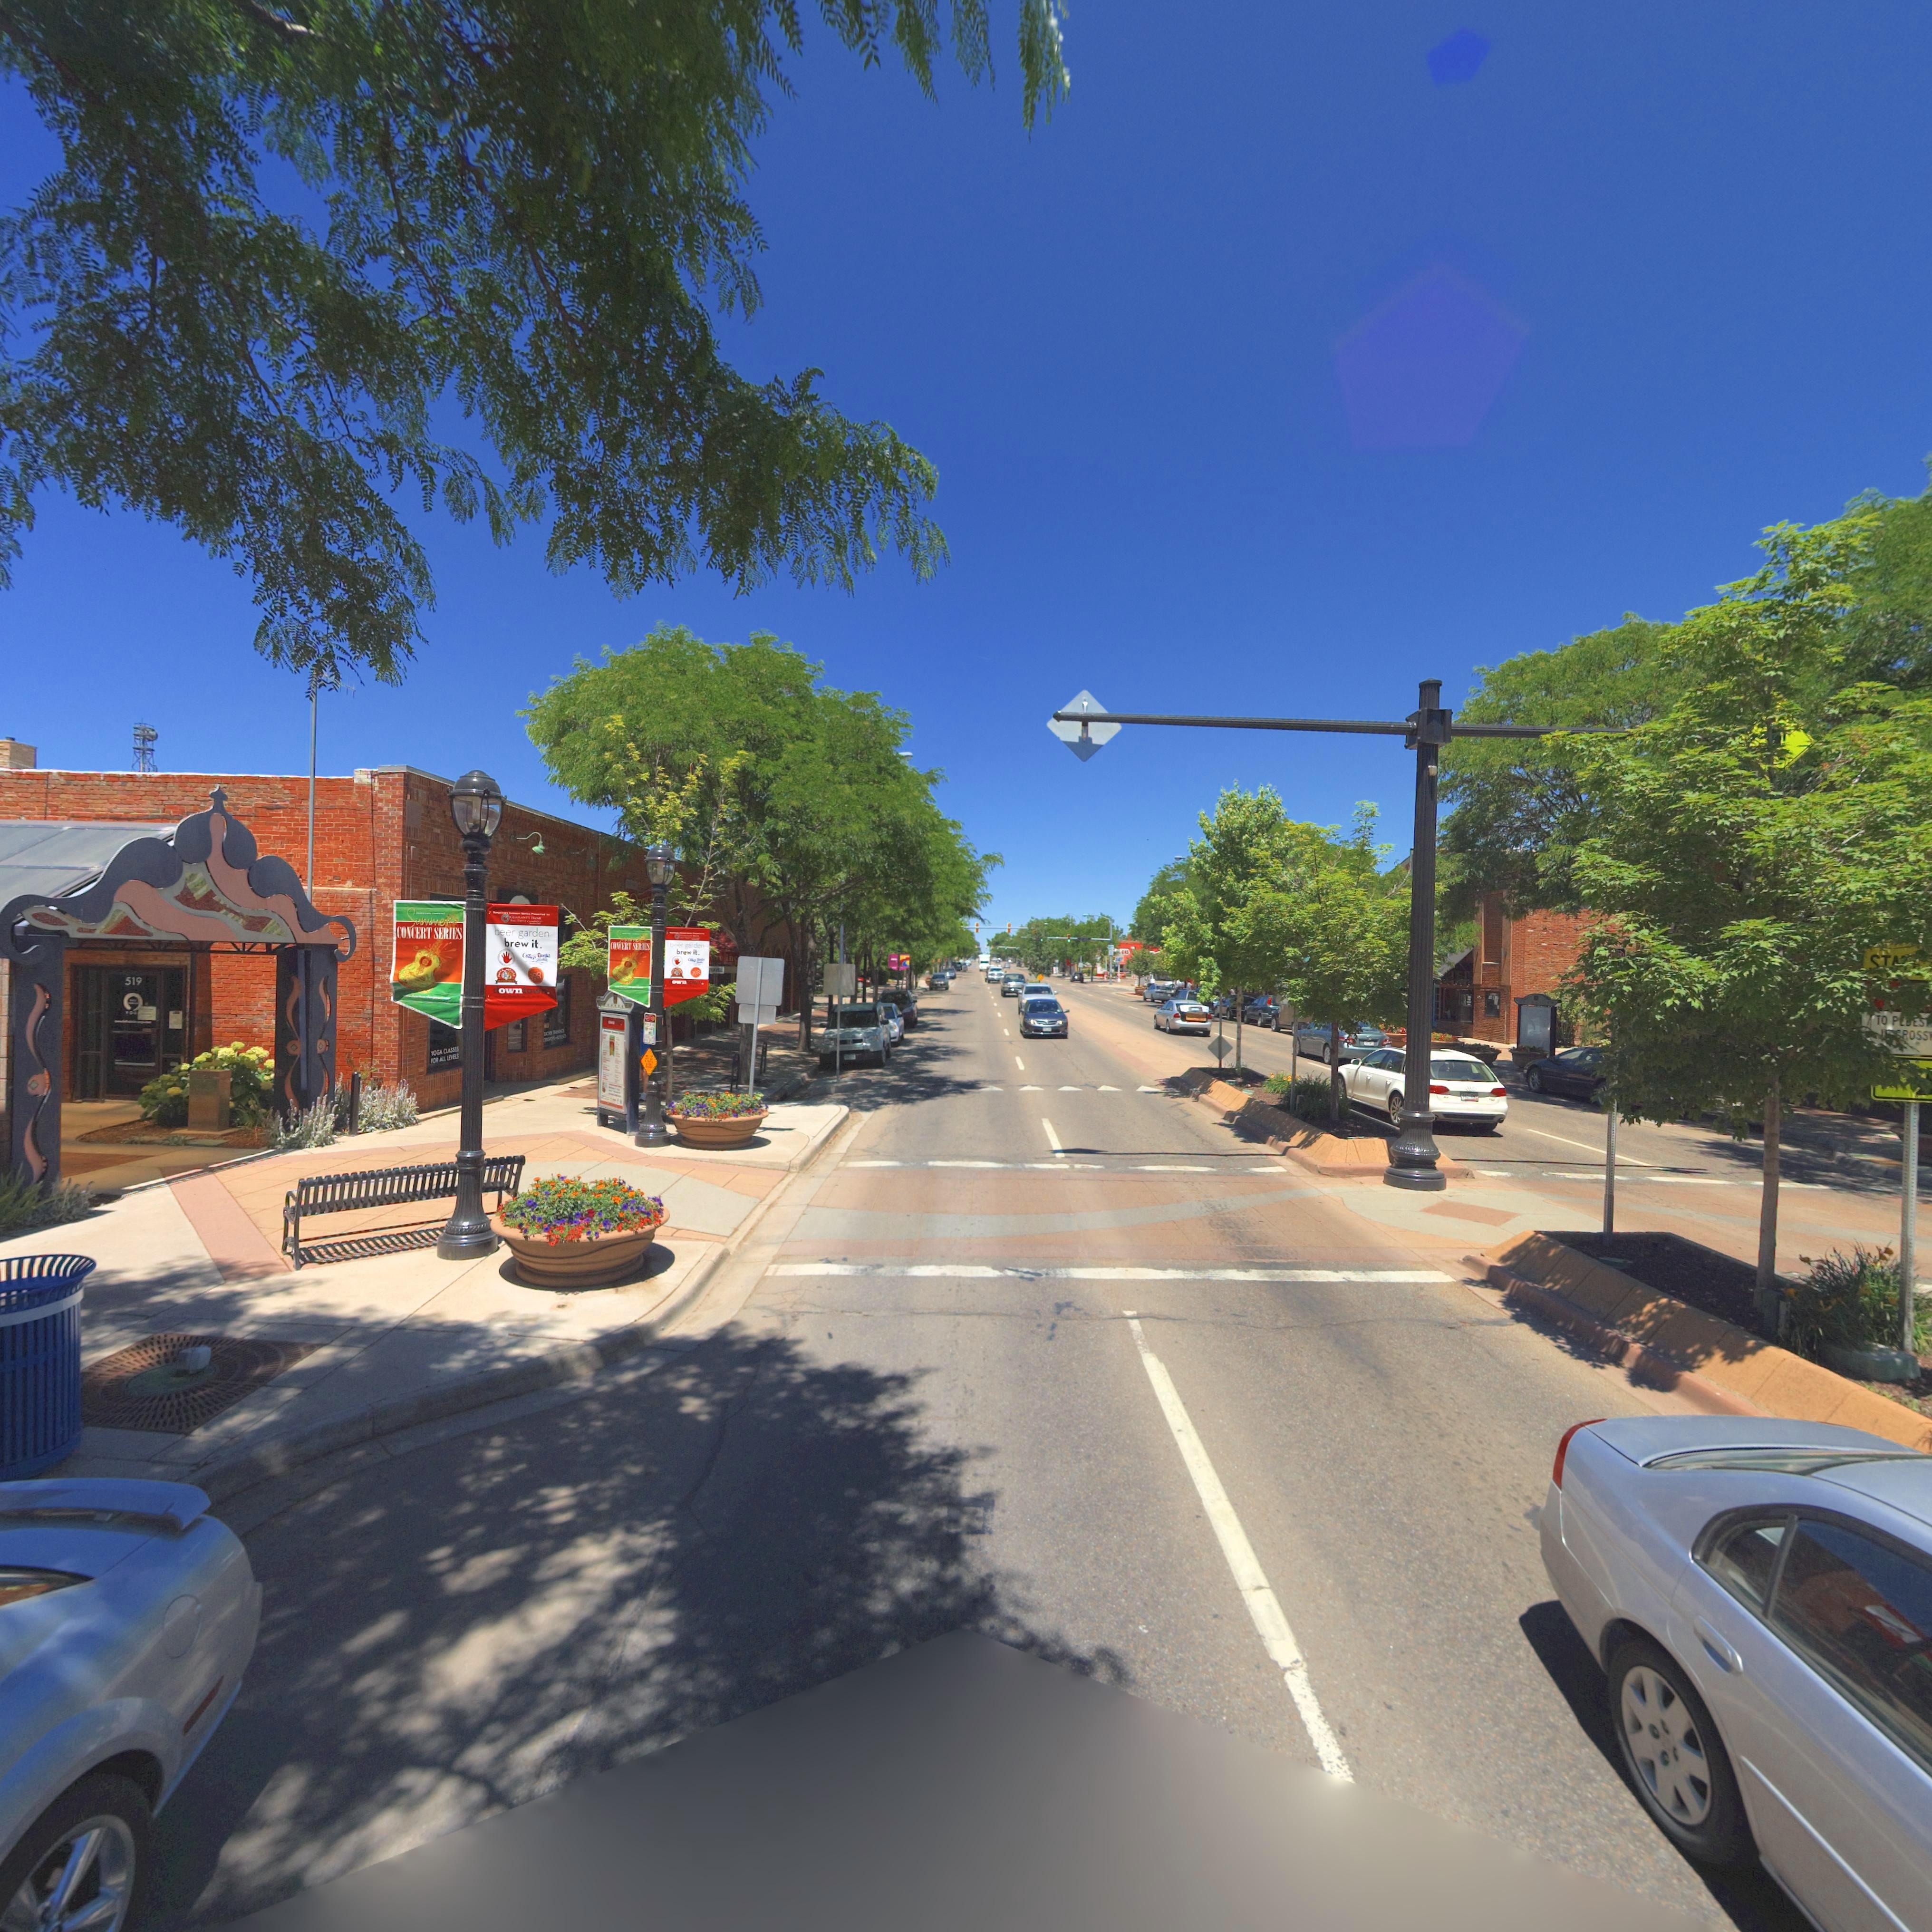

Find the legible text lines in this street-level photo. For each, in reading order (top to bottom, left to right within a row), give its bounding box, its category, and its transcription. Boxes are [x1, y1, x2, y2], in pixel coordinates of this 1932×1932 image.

[638, 895, 651, 910] BusinessName: OTIC
[710, 953, 739, 962] BusinessName: *tre Inc
[709, 966, 723, 973] BusinessName: TRAVEL
[123, 976, 143, 986] StreetNumber: 519